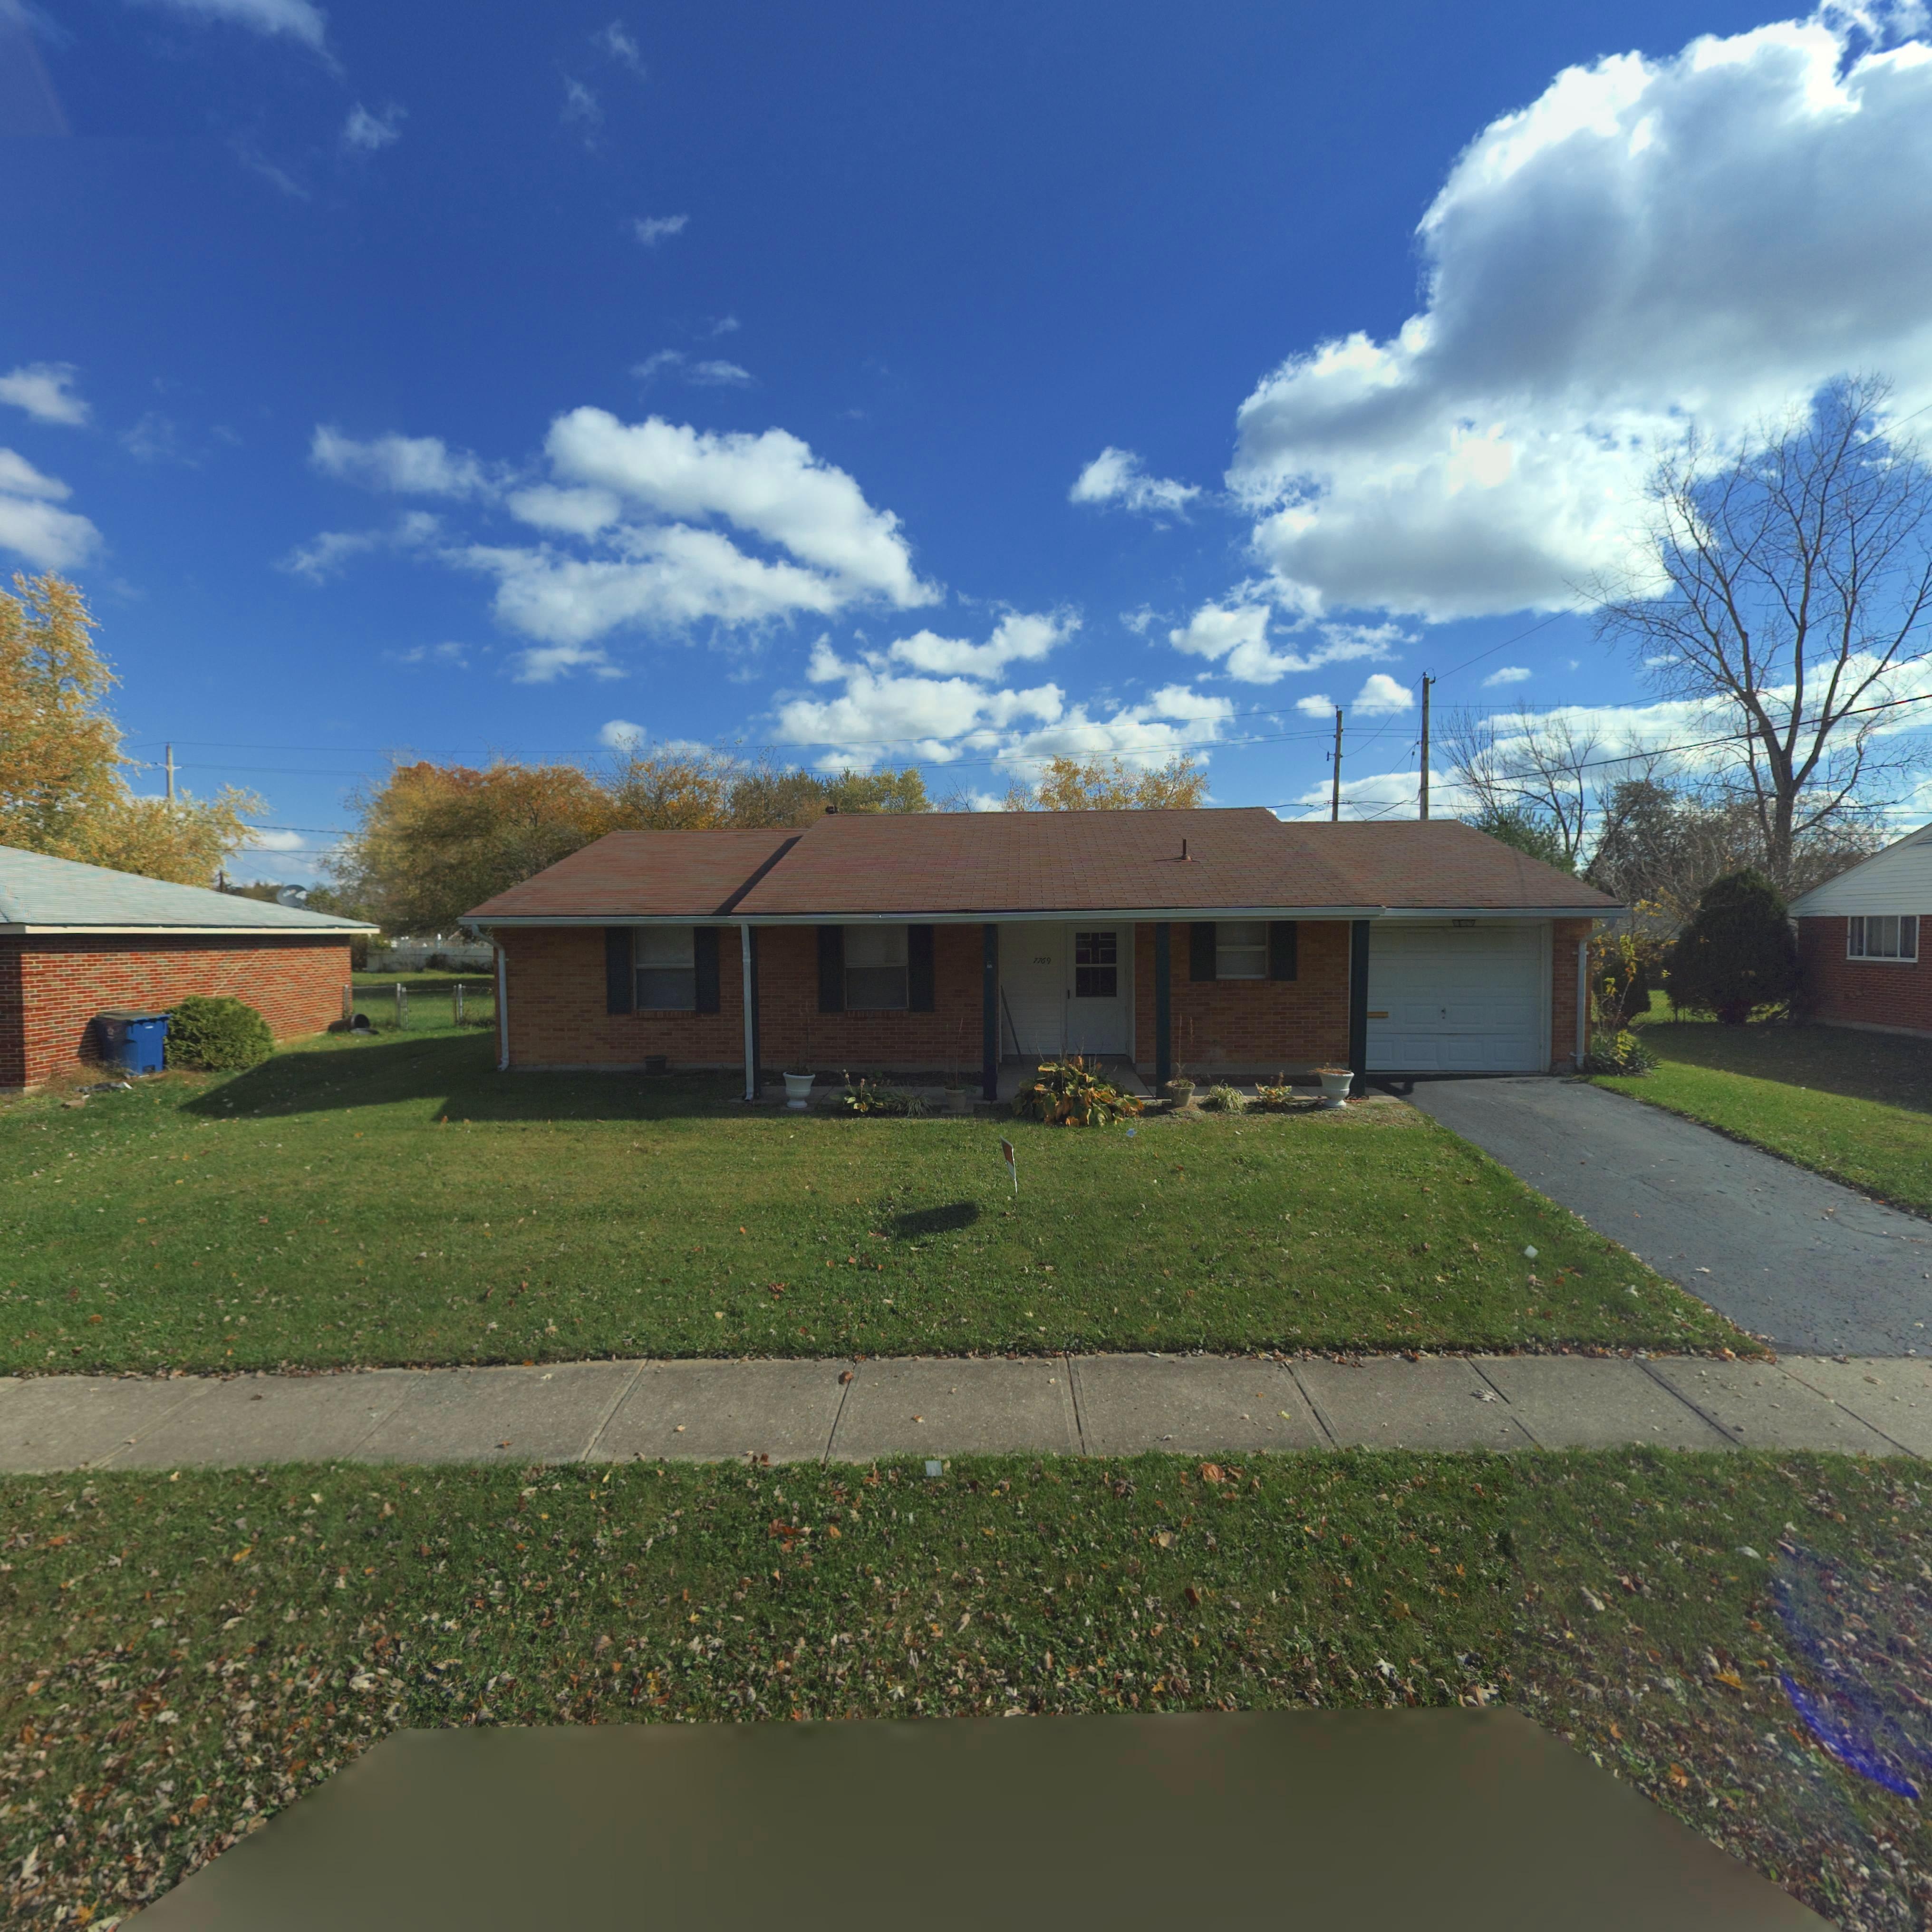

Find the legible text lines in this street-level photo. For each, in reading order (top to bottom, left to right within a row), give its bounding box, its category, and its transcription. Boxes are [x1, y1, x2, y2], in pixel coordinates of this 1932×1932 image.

[1033, 957, 1051, 964] StreetNumber: 7769